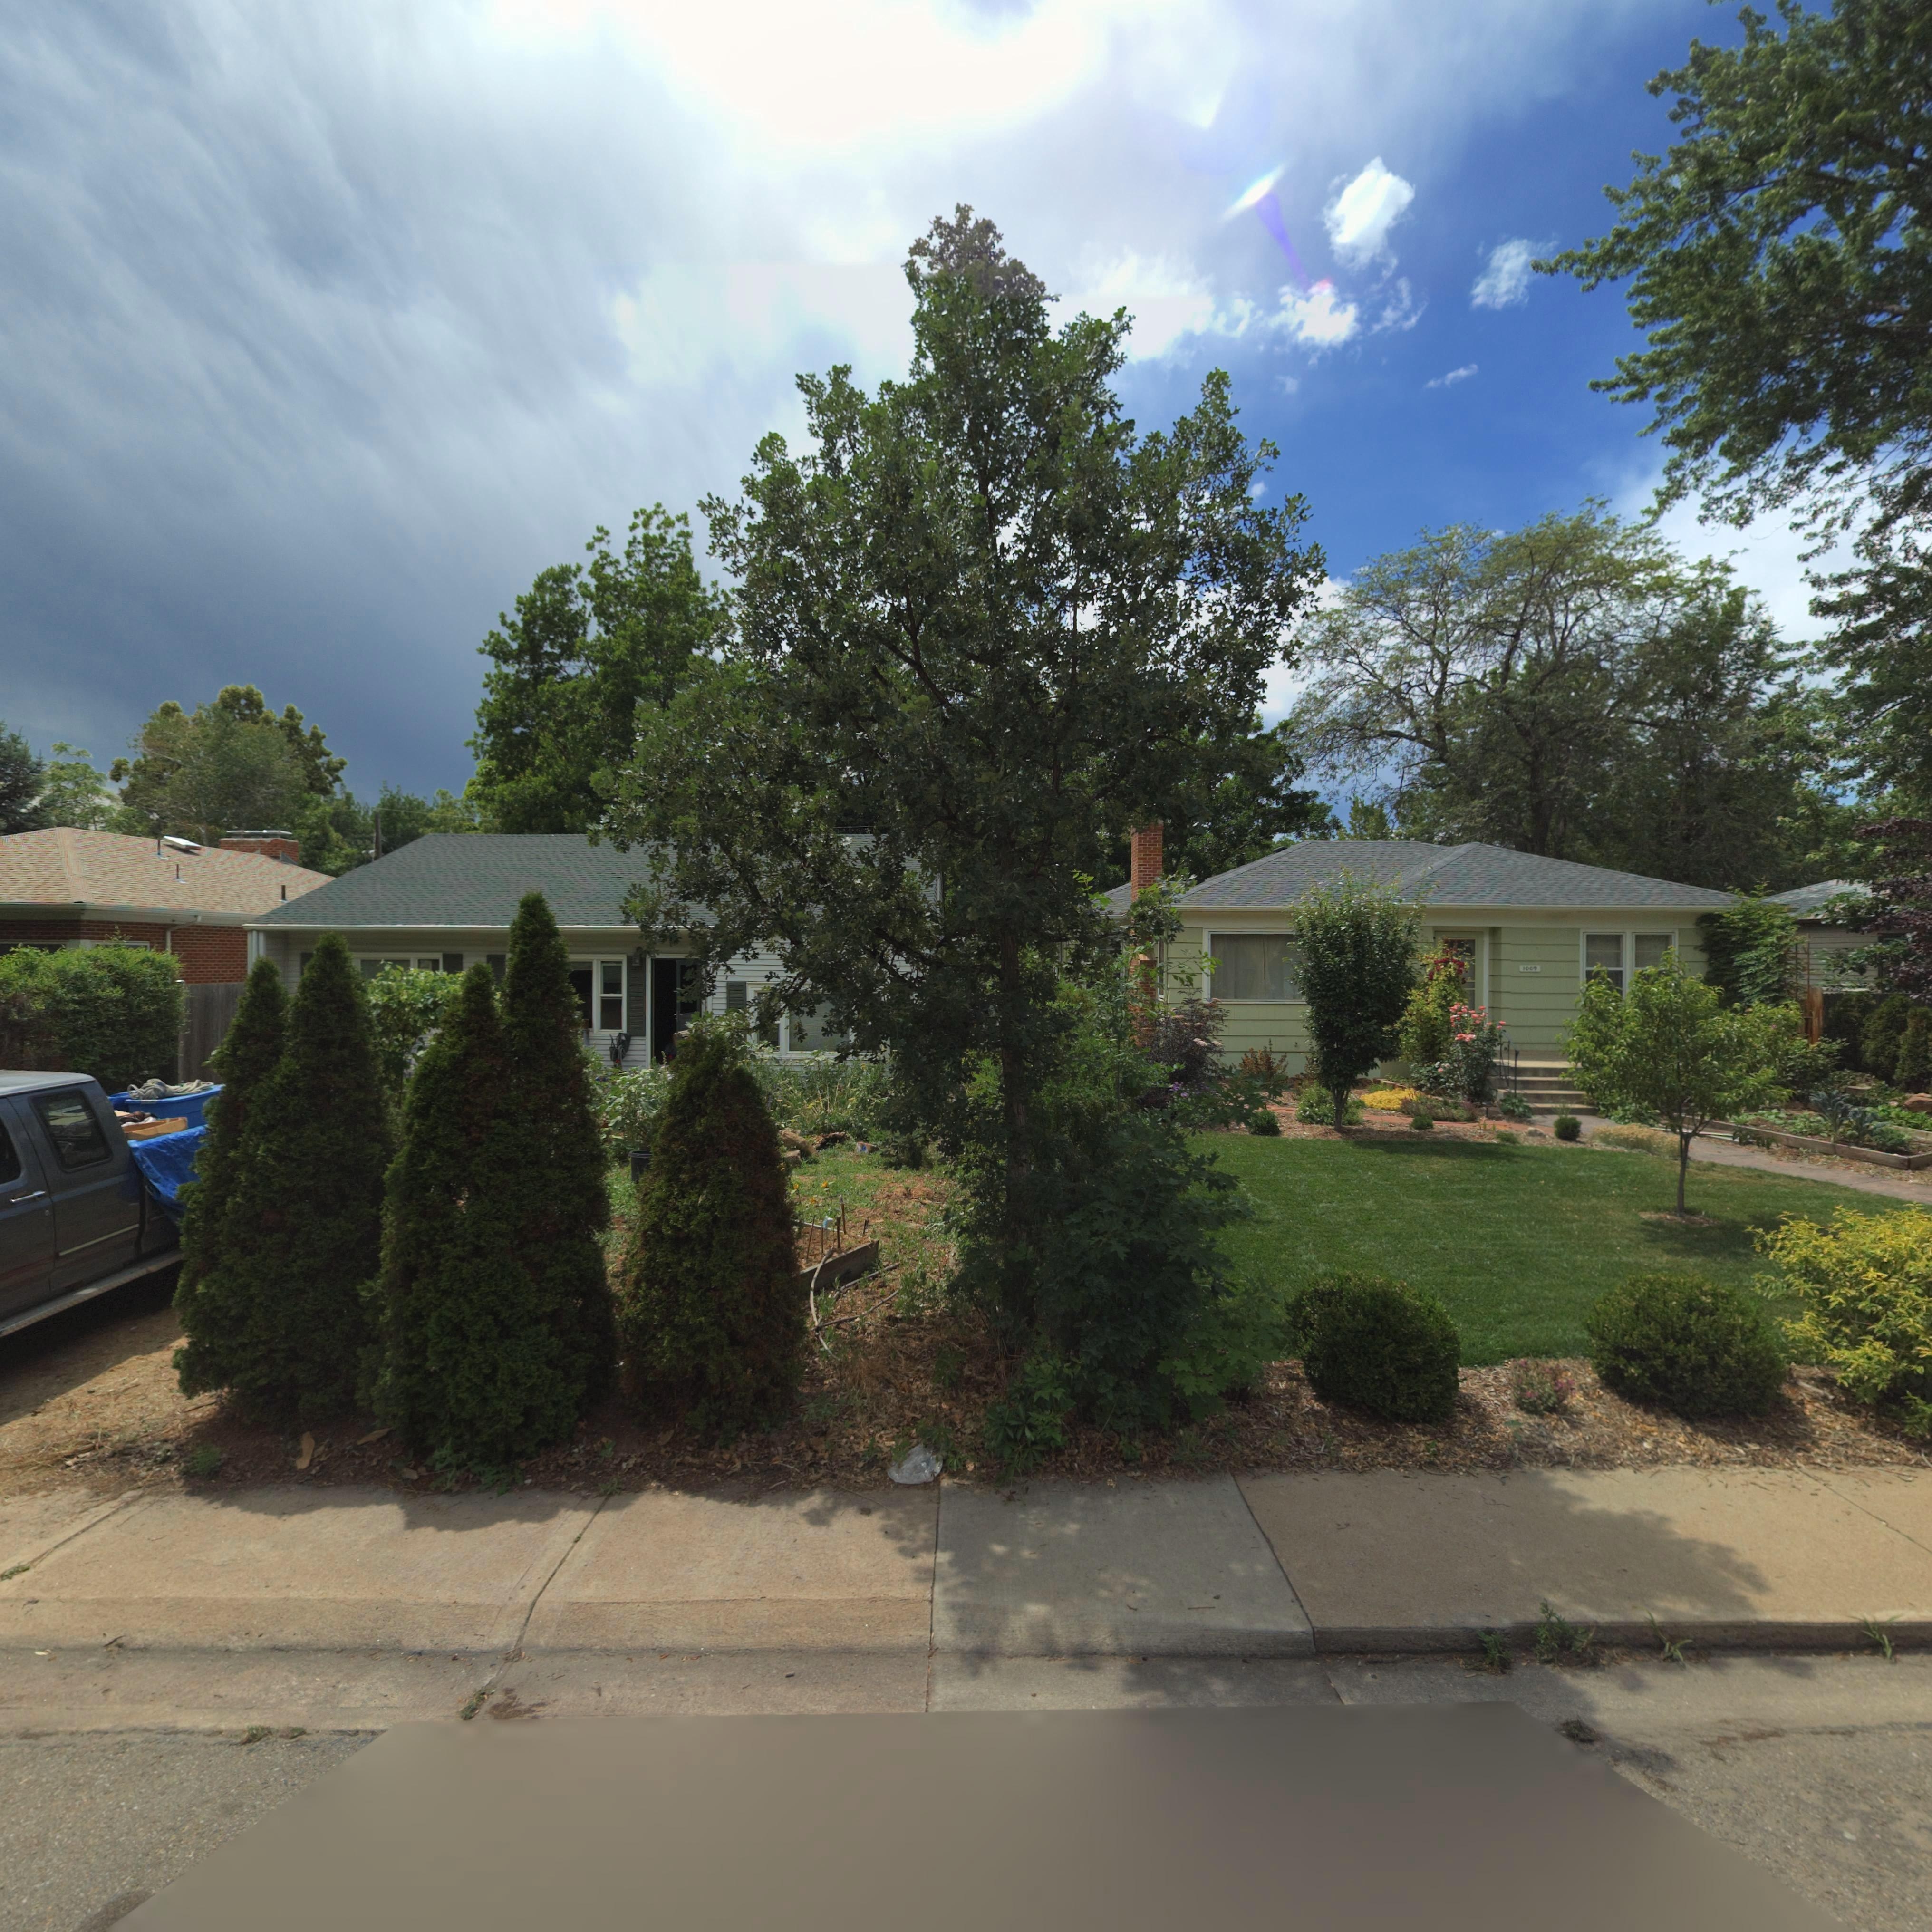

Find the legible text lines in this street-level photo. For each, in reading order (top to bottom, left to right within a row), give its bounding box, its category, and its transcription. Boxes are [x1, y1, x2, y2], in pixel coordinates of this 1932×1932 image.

[1522, 966, 1537, 970] StreetNumber: 1009